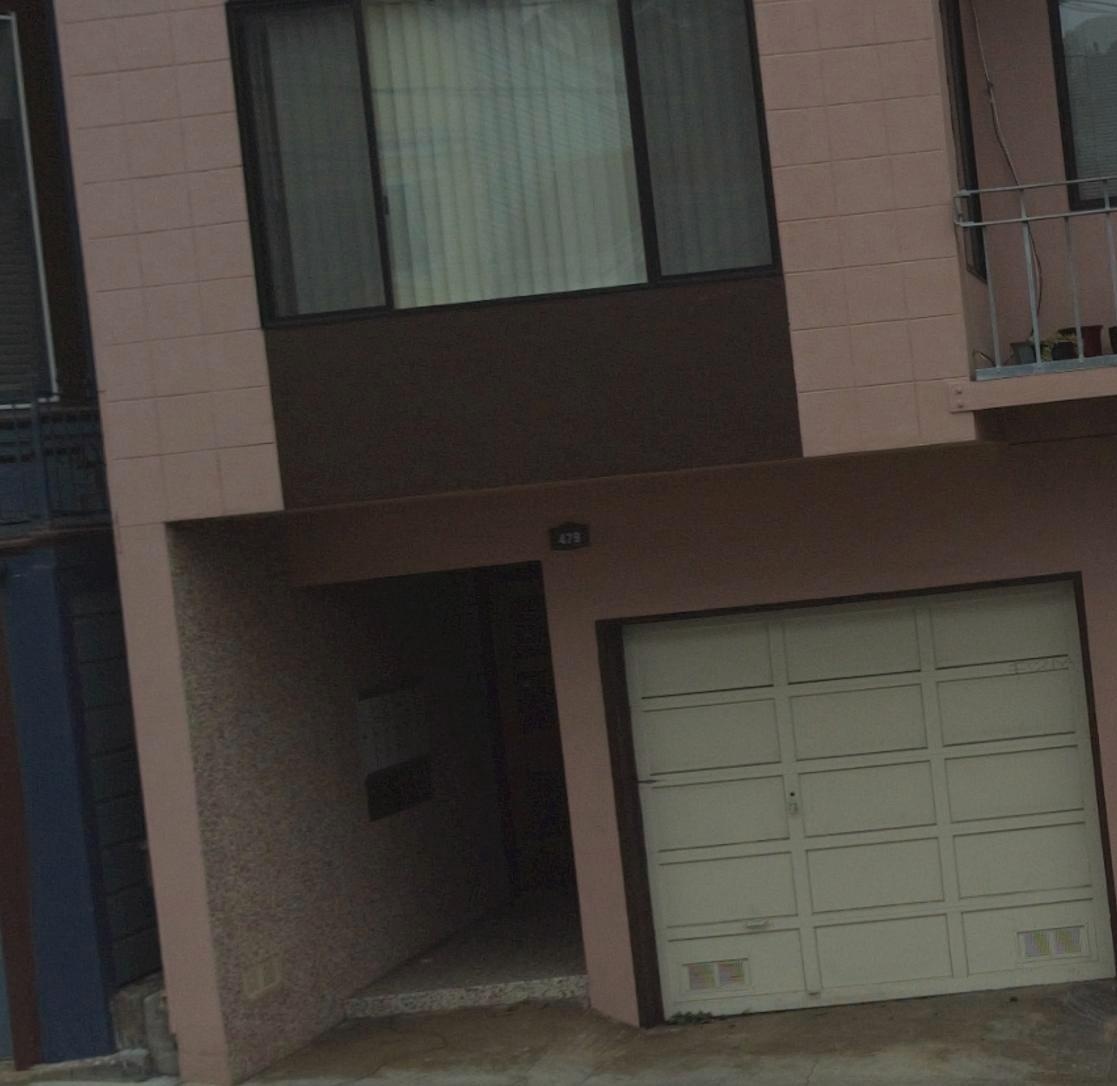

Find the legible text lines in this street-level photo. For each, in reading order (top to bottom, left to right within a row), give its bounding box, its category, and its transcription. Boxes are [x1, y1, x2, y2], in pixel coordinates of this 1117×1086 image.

[557, 531, 582, 546] StreetNumber: 479